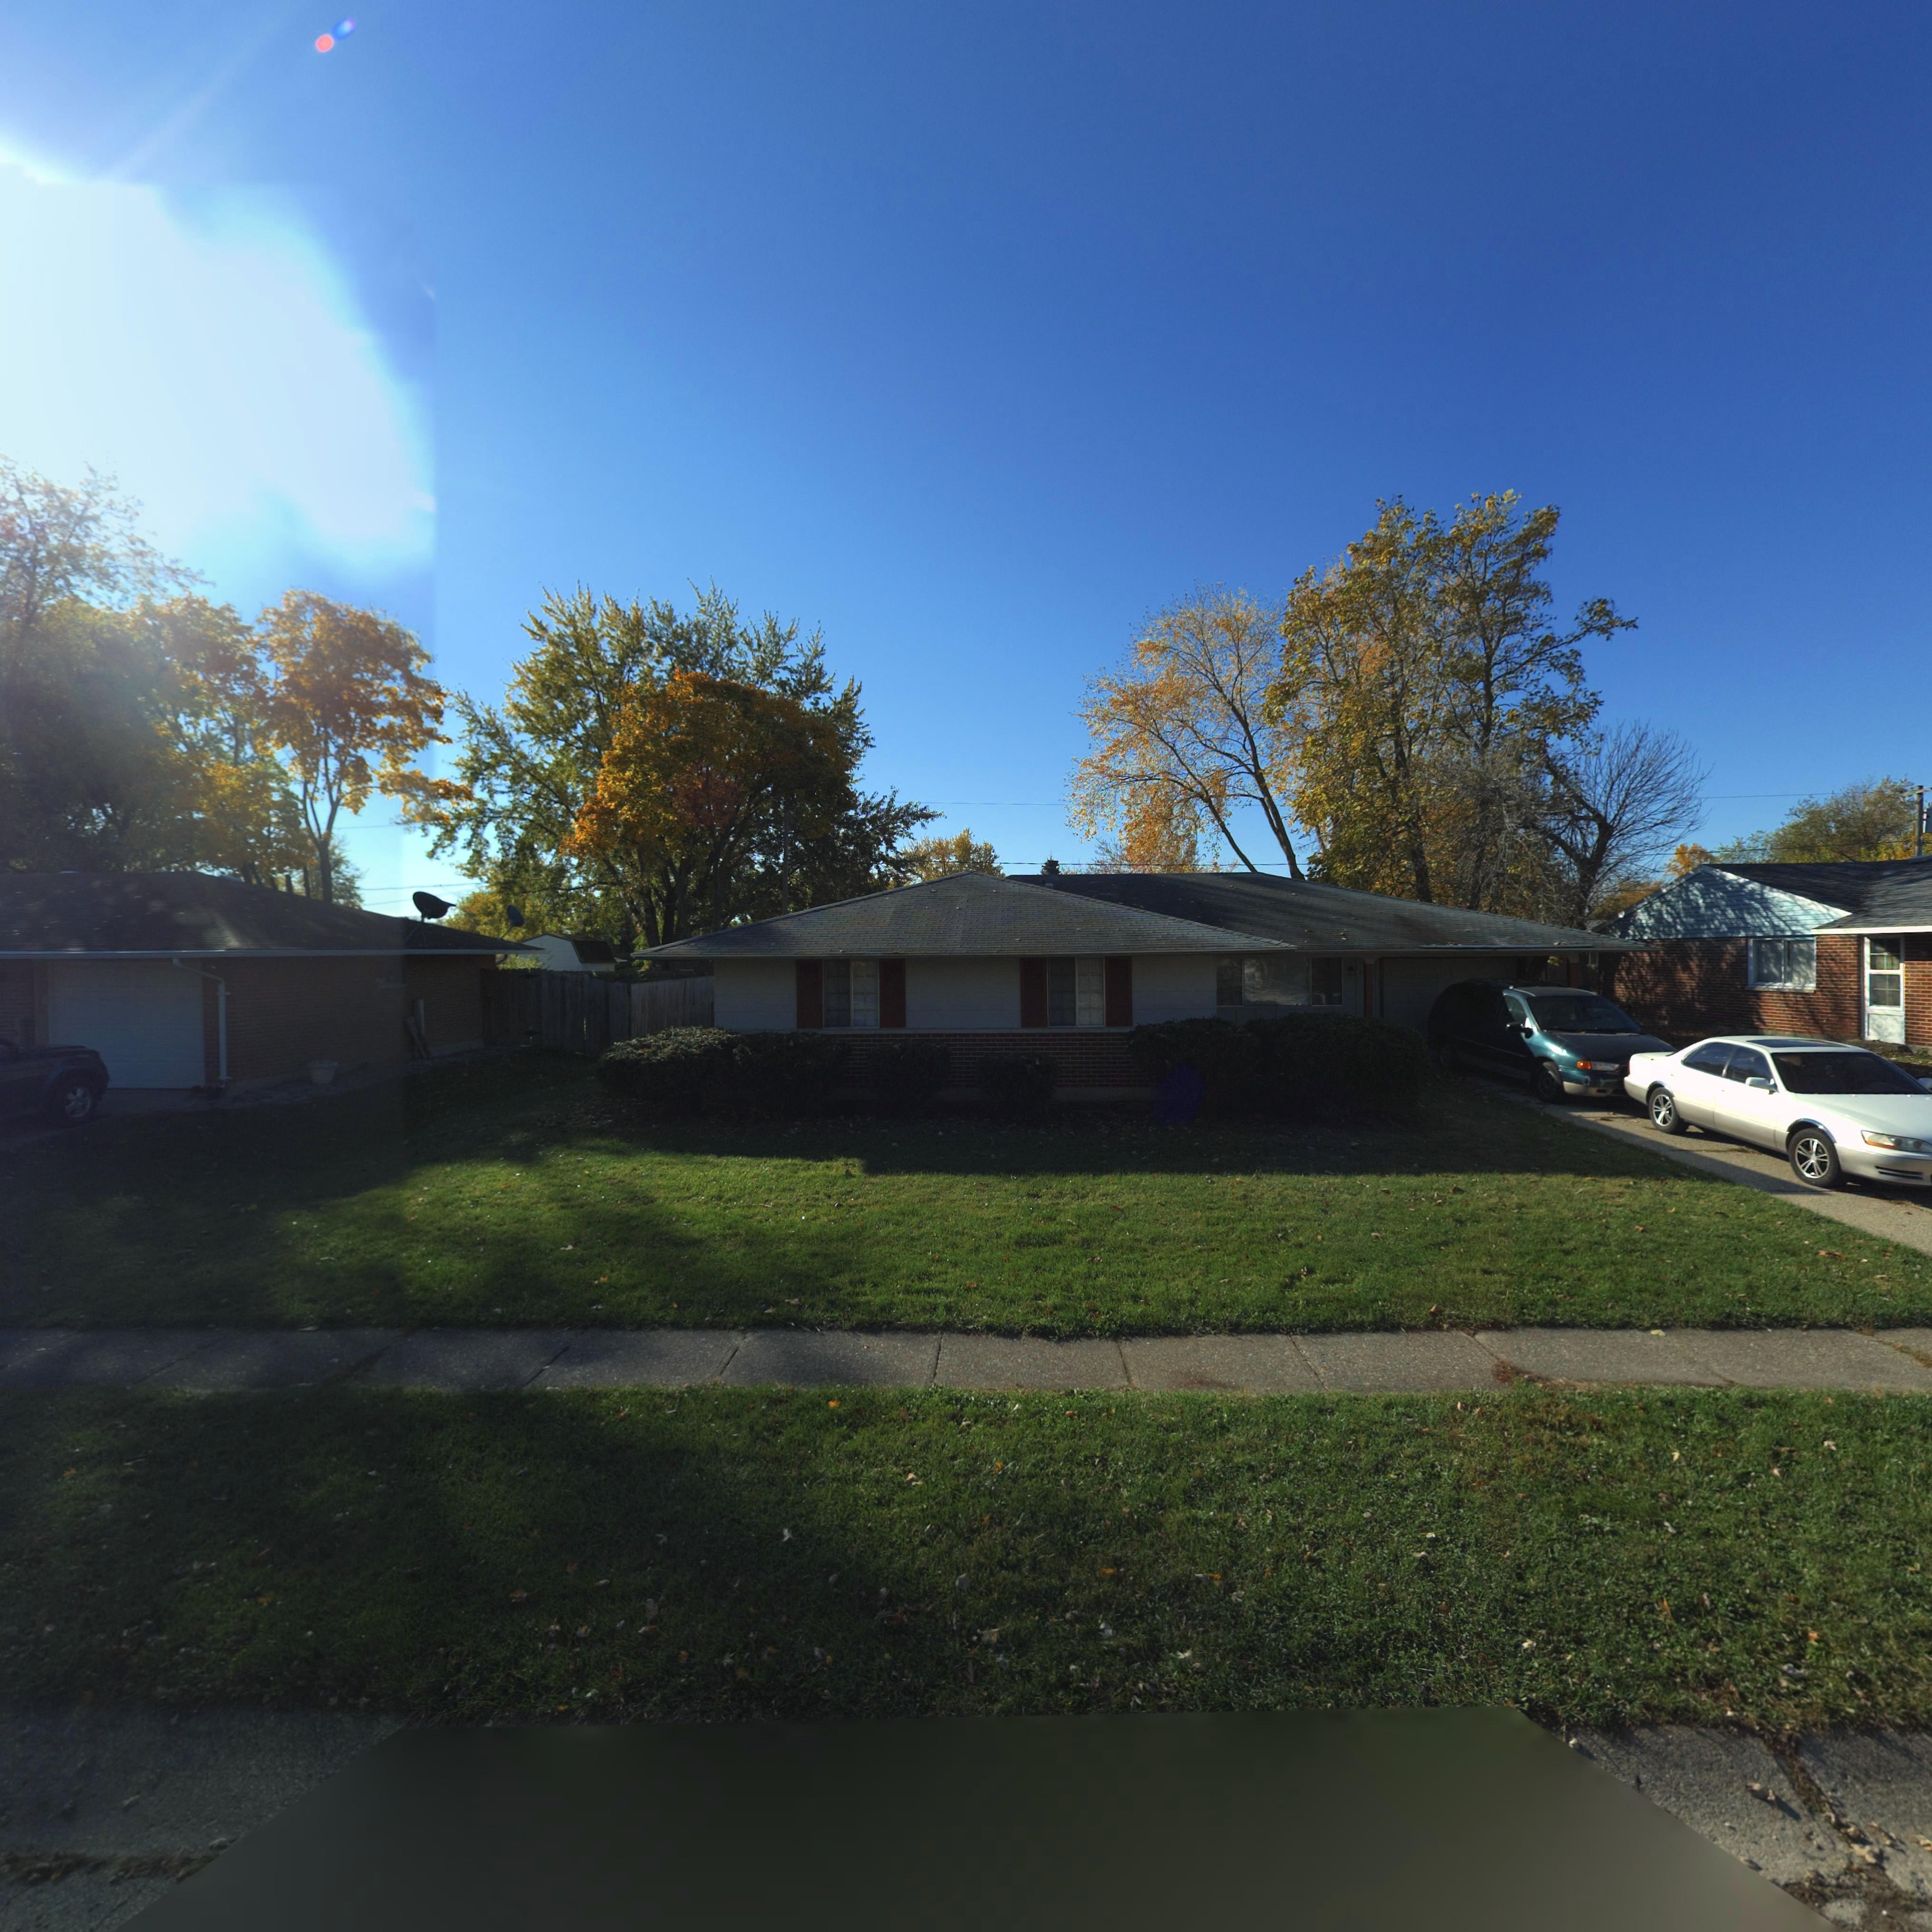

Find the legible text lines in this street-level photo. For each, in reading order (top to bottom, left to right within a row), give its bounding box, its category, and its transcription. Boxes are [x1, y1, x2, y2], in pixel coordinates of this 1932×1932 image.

[1358, 969, 1363, 976] StreetNumber: 7